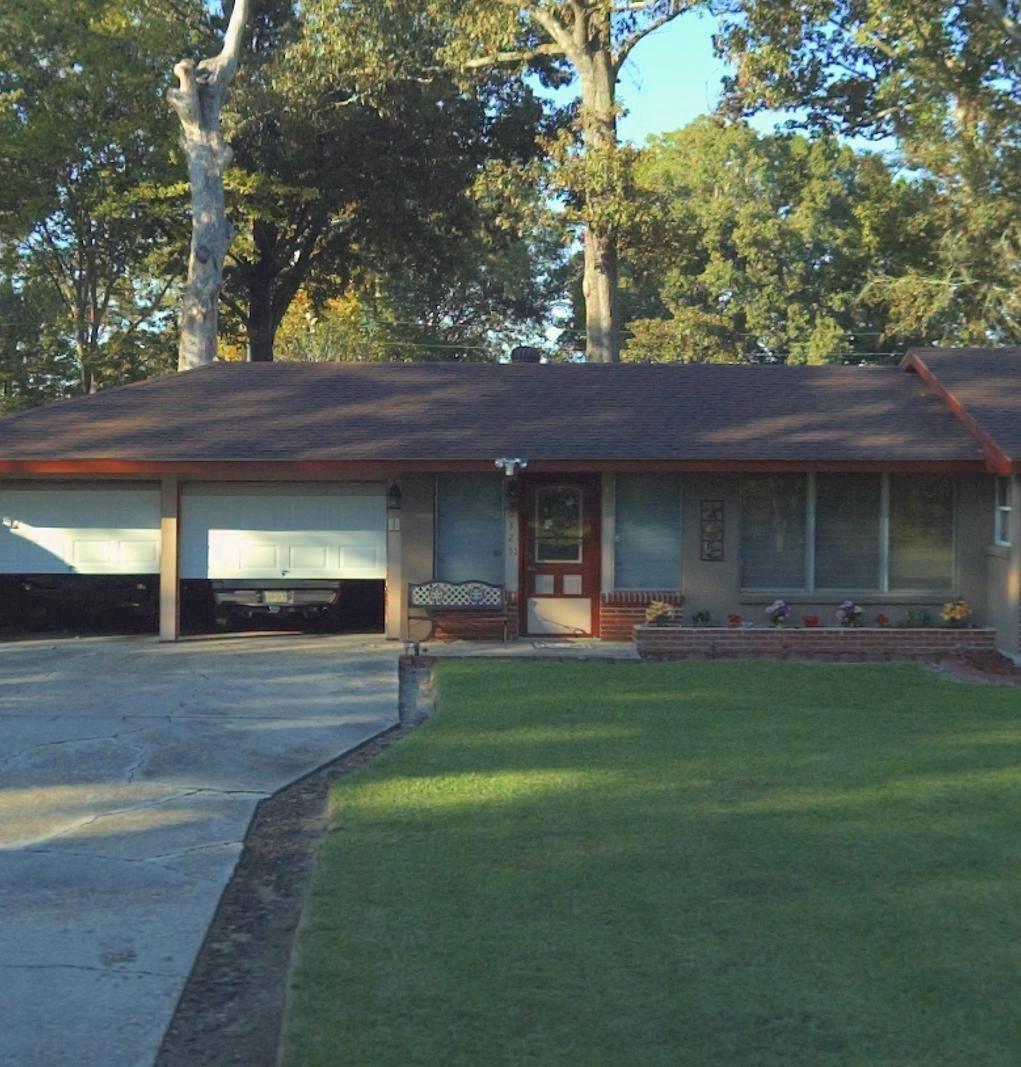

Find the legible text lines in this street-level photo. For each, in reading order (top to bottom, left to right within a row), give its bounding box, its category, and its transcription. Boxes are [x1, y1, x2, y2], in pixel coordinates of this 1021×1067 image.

[506, 495, 515, 556] StreetNumber: **325